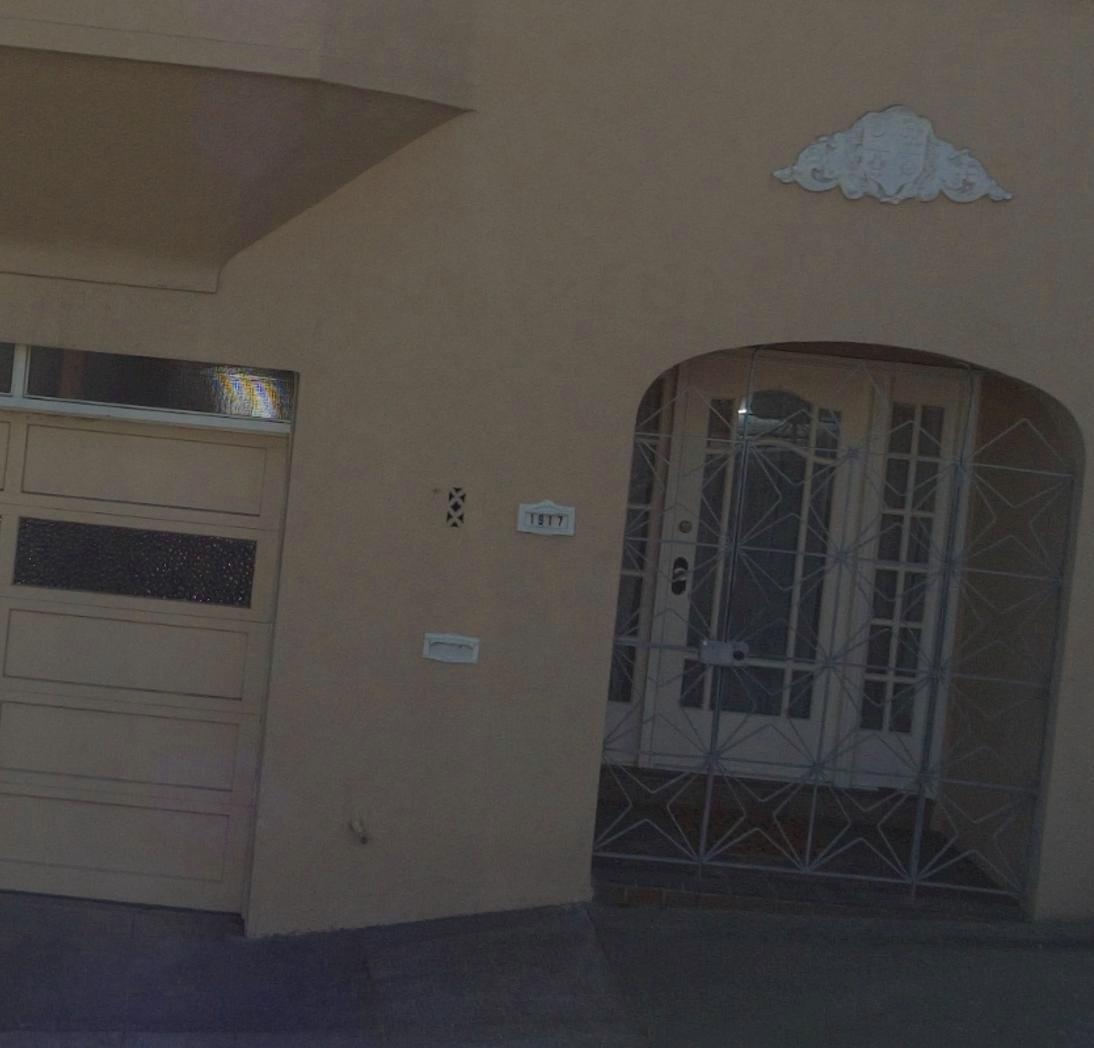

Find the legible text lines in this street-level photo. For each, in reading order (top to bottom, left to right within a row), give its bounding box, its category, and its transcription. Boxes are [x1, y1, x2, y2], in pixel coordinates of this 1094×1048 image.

[528, 510, 564, 529] StreetNumber: 1917